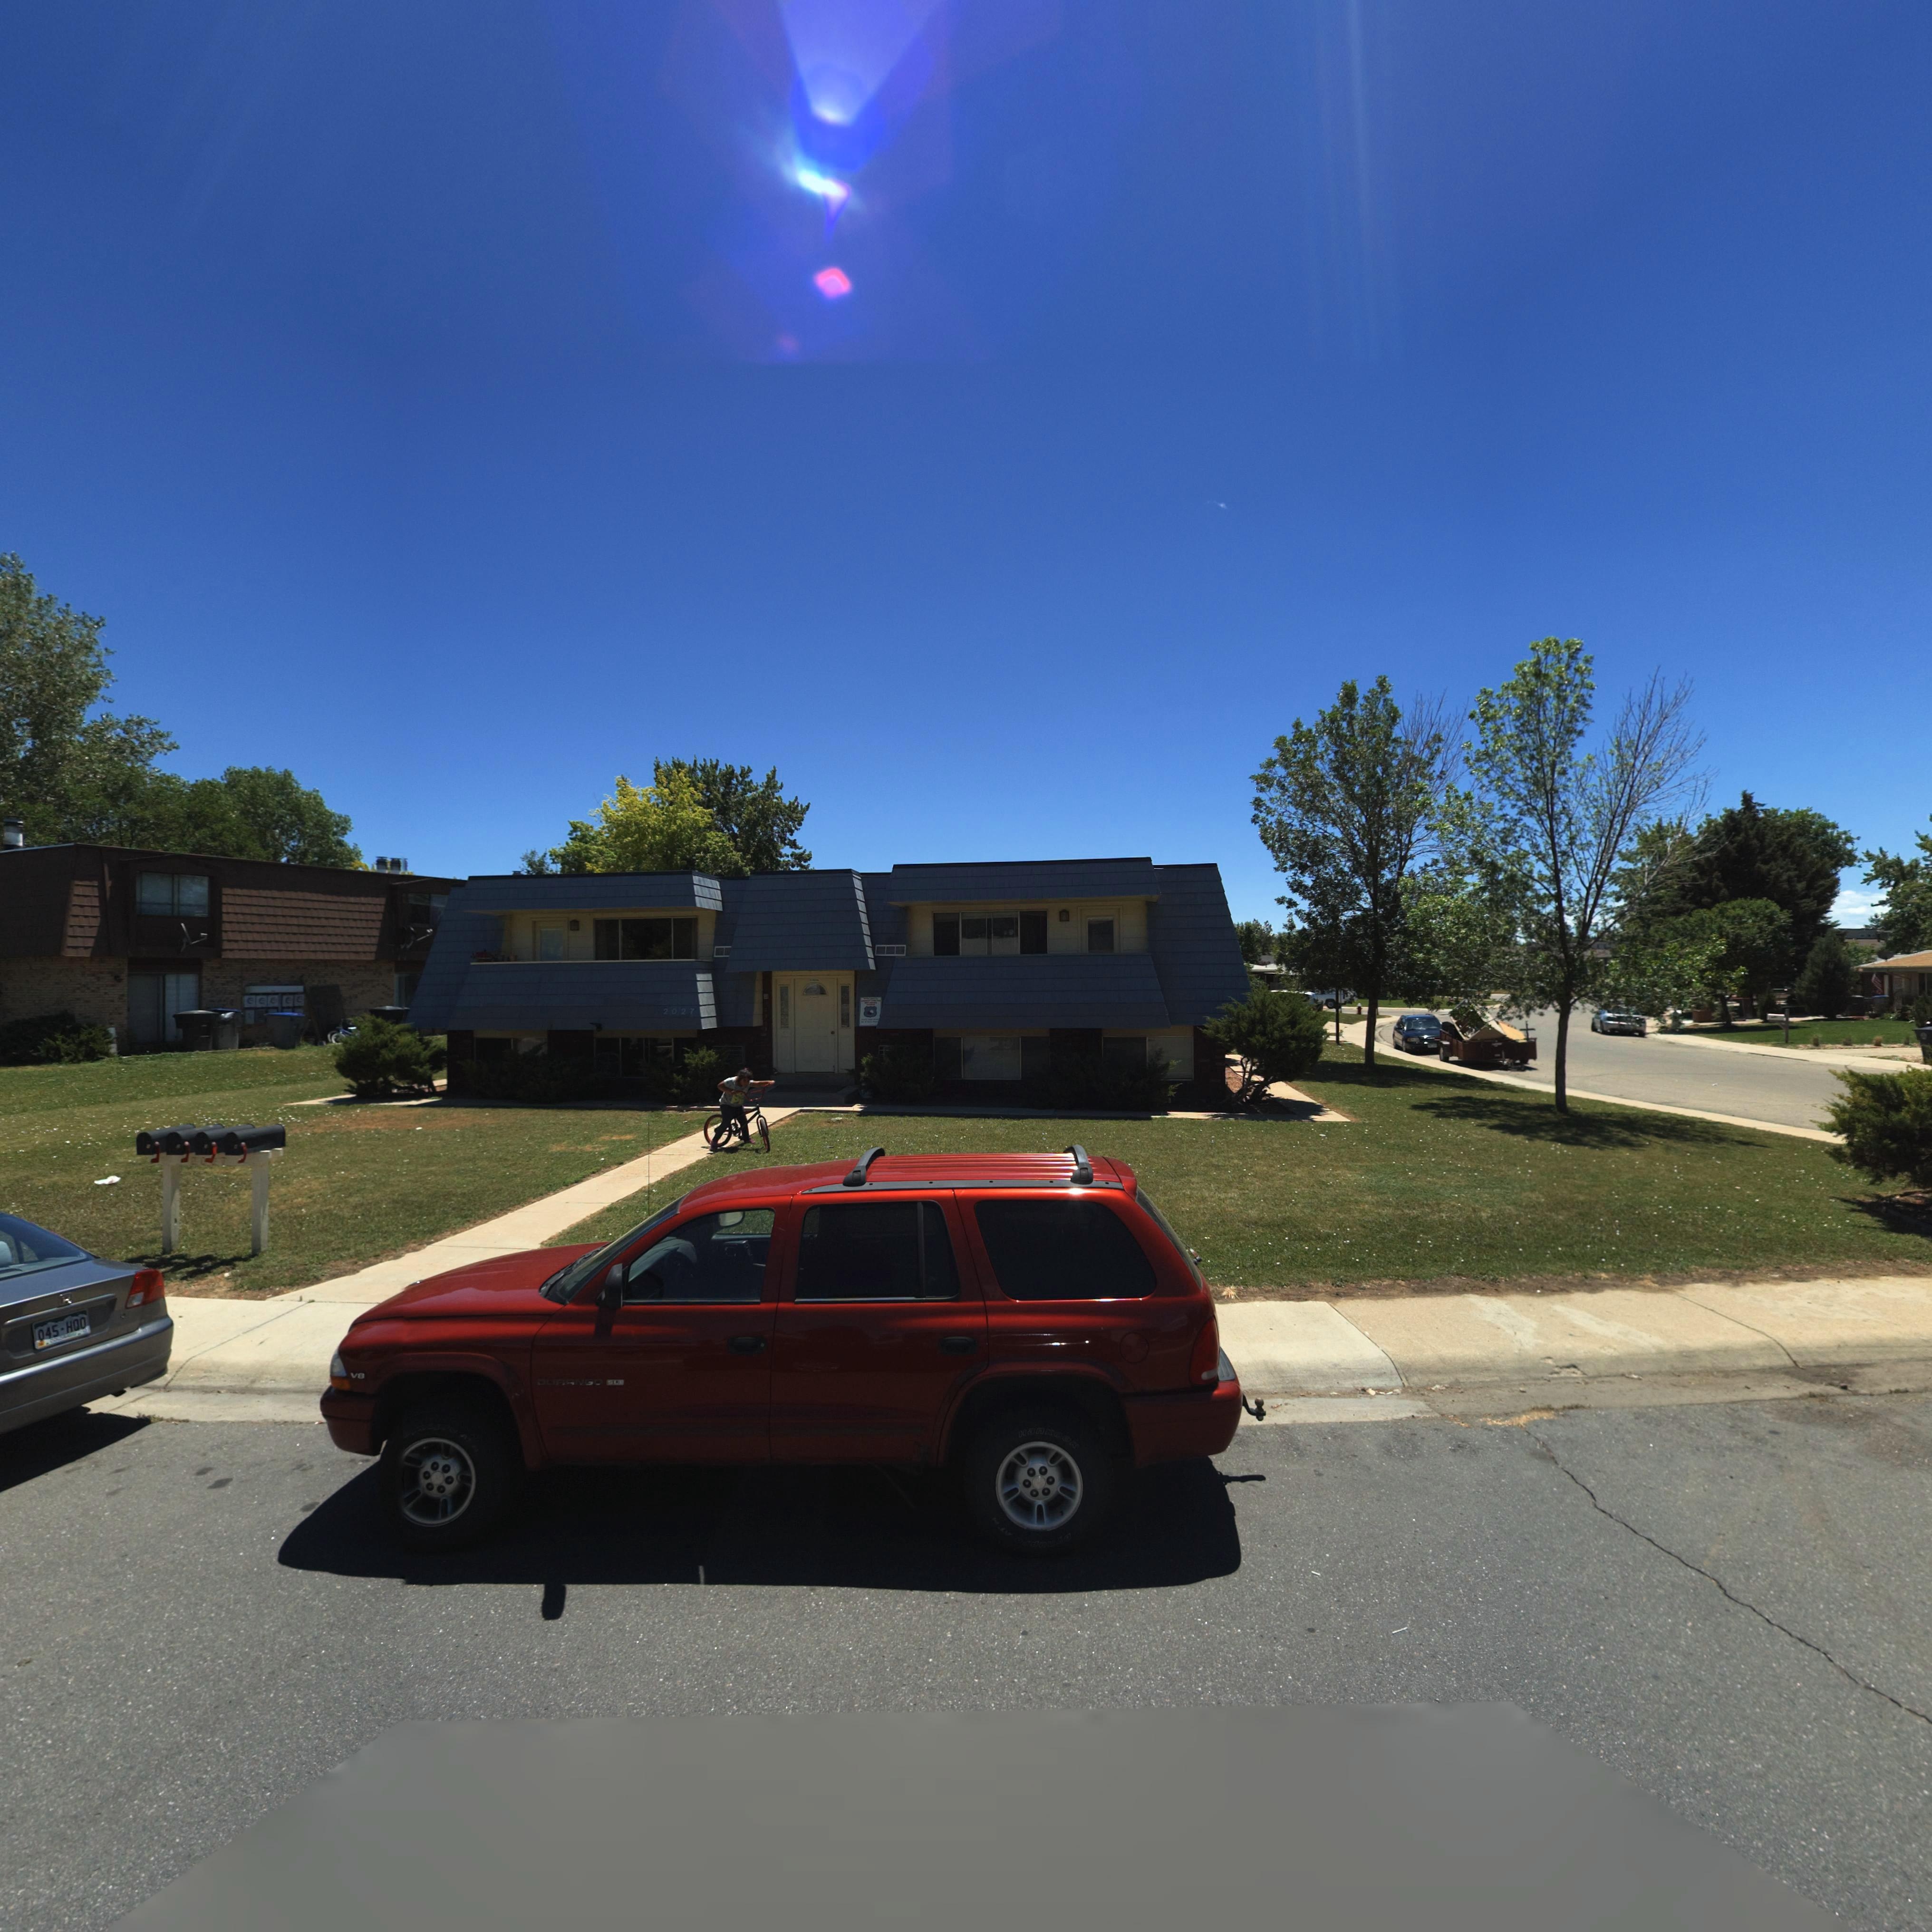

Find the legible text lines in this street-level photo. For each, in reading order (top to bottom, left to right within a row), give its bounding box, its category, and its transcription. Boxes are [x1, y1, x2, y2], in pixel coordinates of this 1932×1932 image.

[663, 1007, 695, 1015] StreetNumber: 2027
[190, 1156, 227, 1165] StreetNumber: 20*7